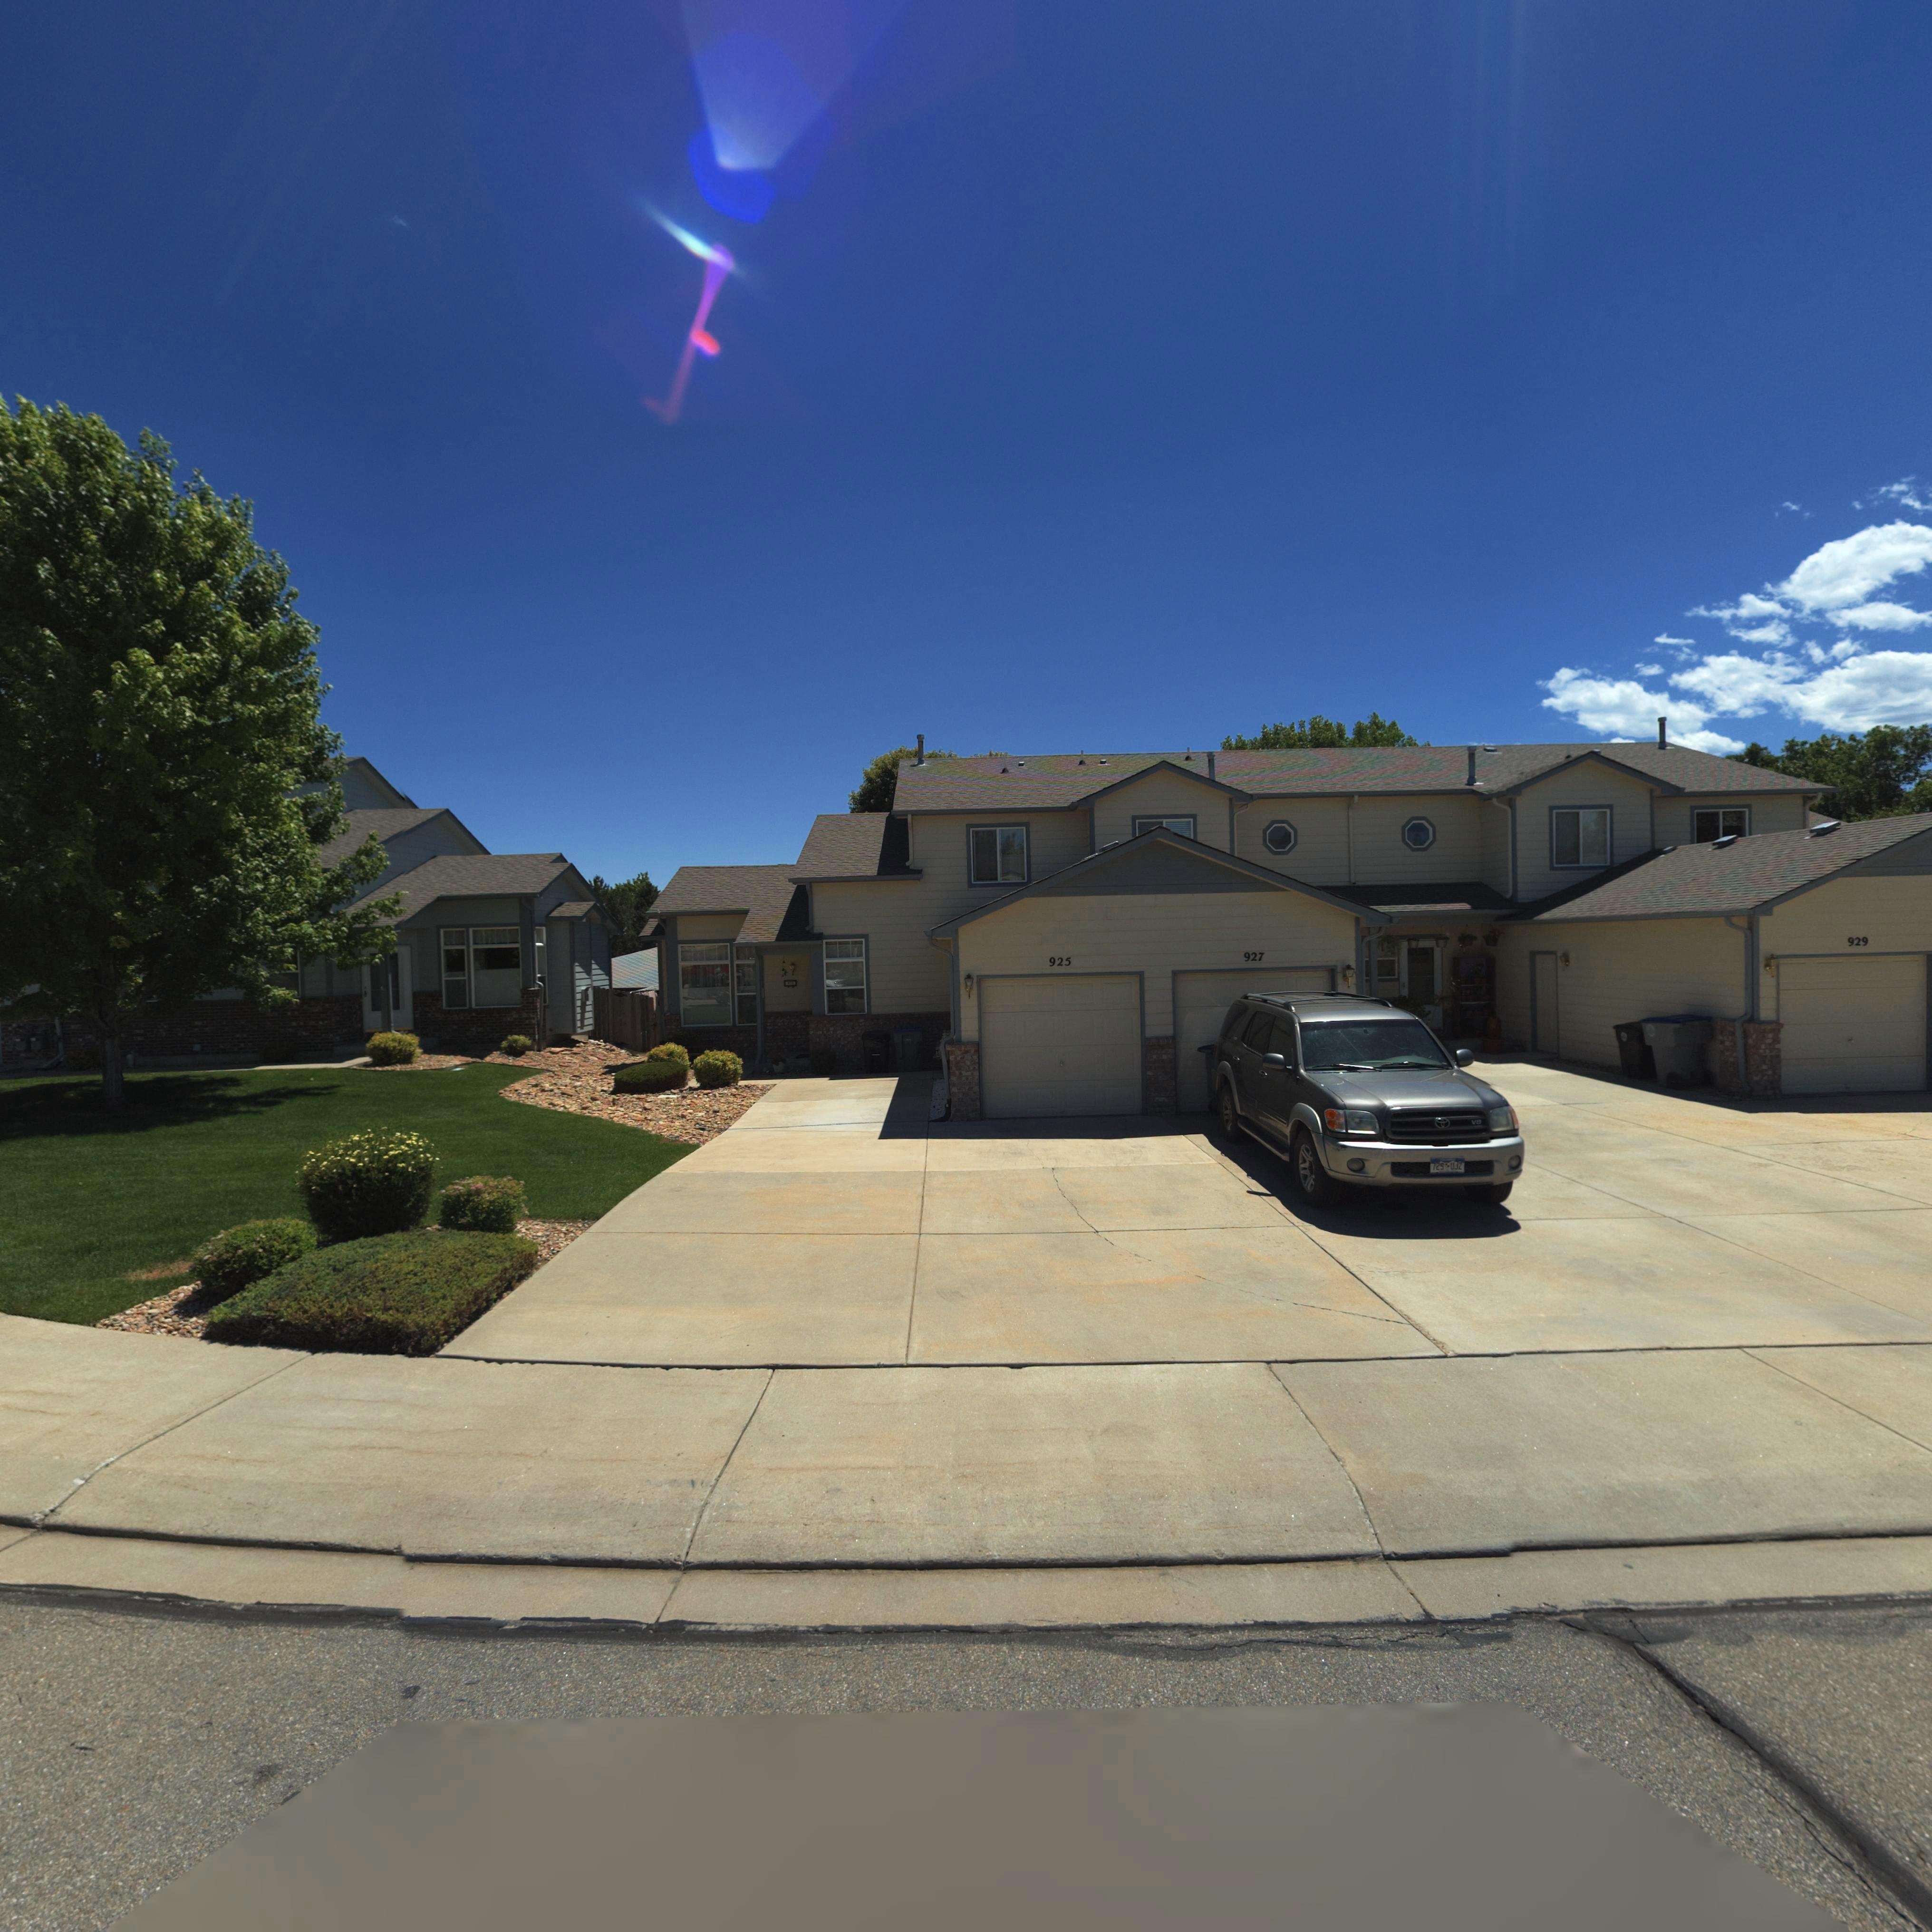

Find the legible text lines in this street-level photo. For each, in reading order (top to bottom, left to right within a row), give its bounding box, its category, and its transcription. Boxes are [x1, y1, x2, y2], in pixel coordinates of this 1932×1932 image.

[1846, 936, 1869, 947] StreetNumber: 929
[1049, 956, 1072, 966] StreetNumber: 925
[1243, 951, 1265, 962] StreetNumber: 927